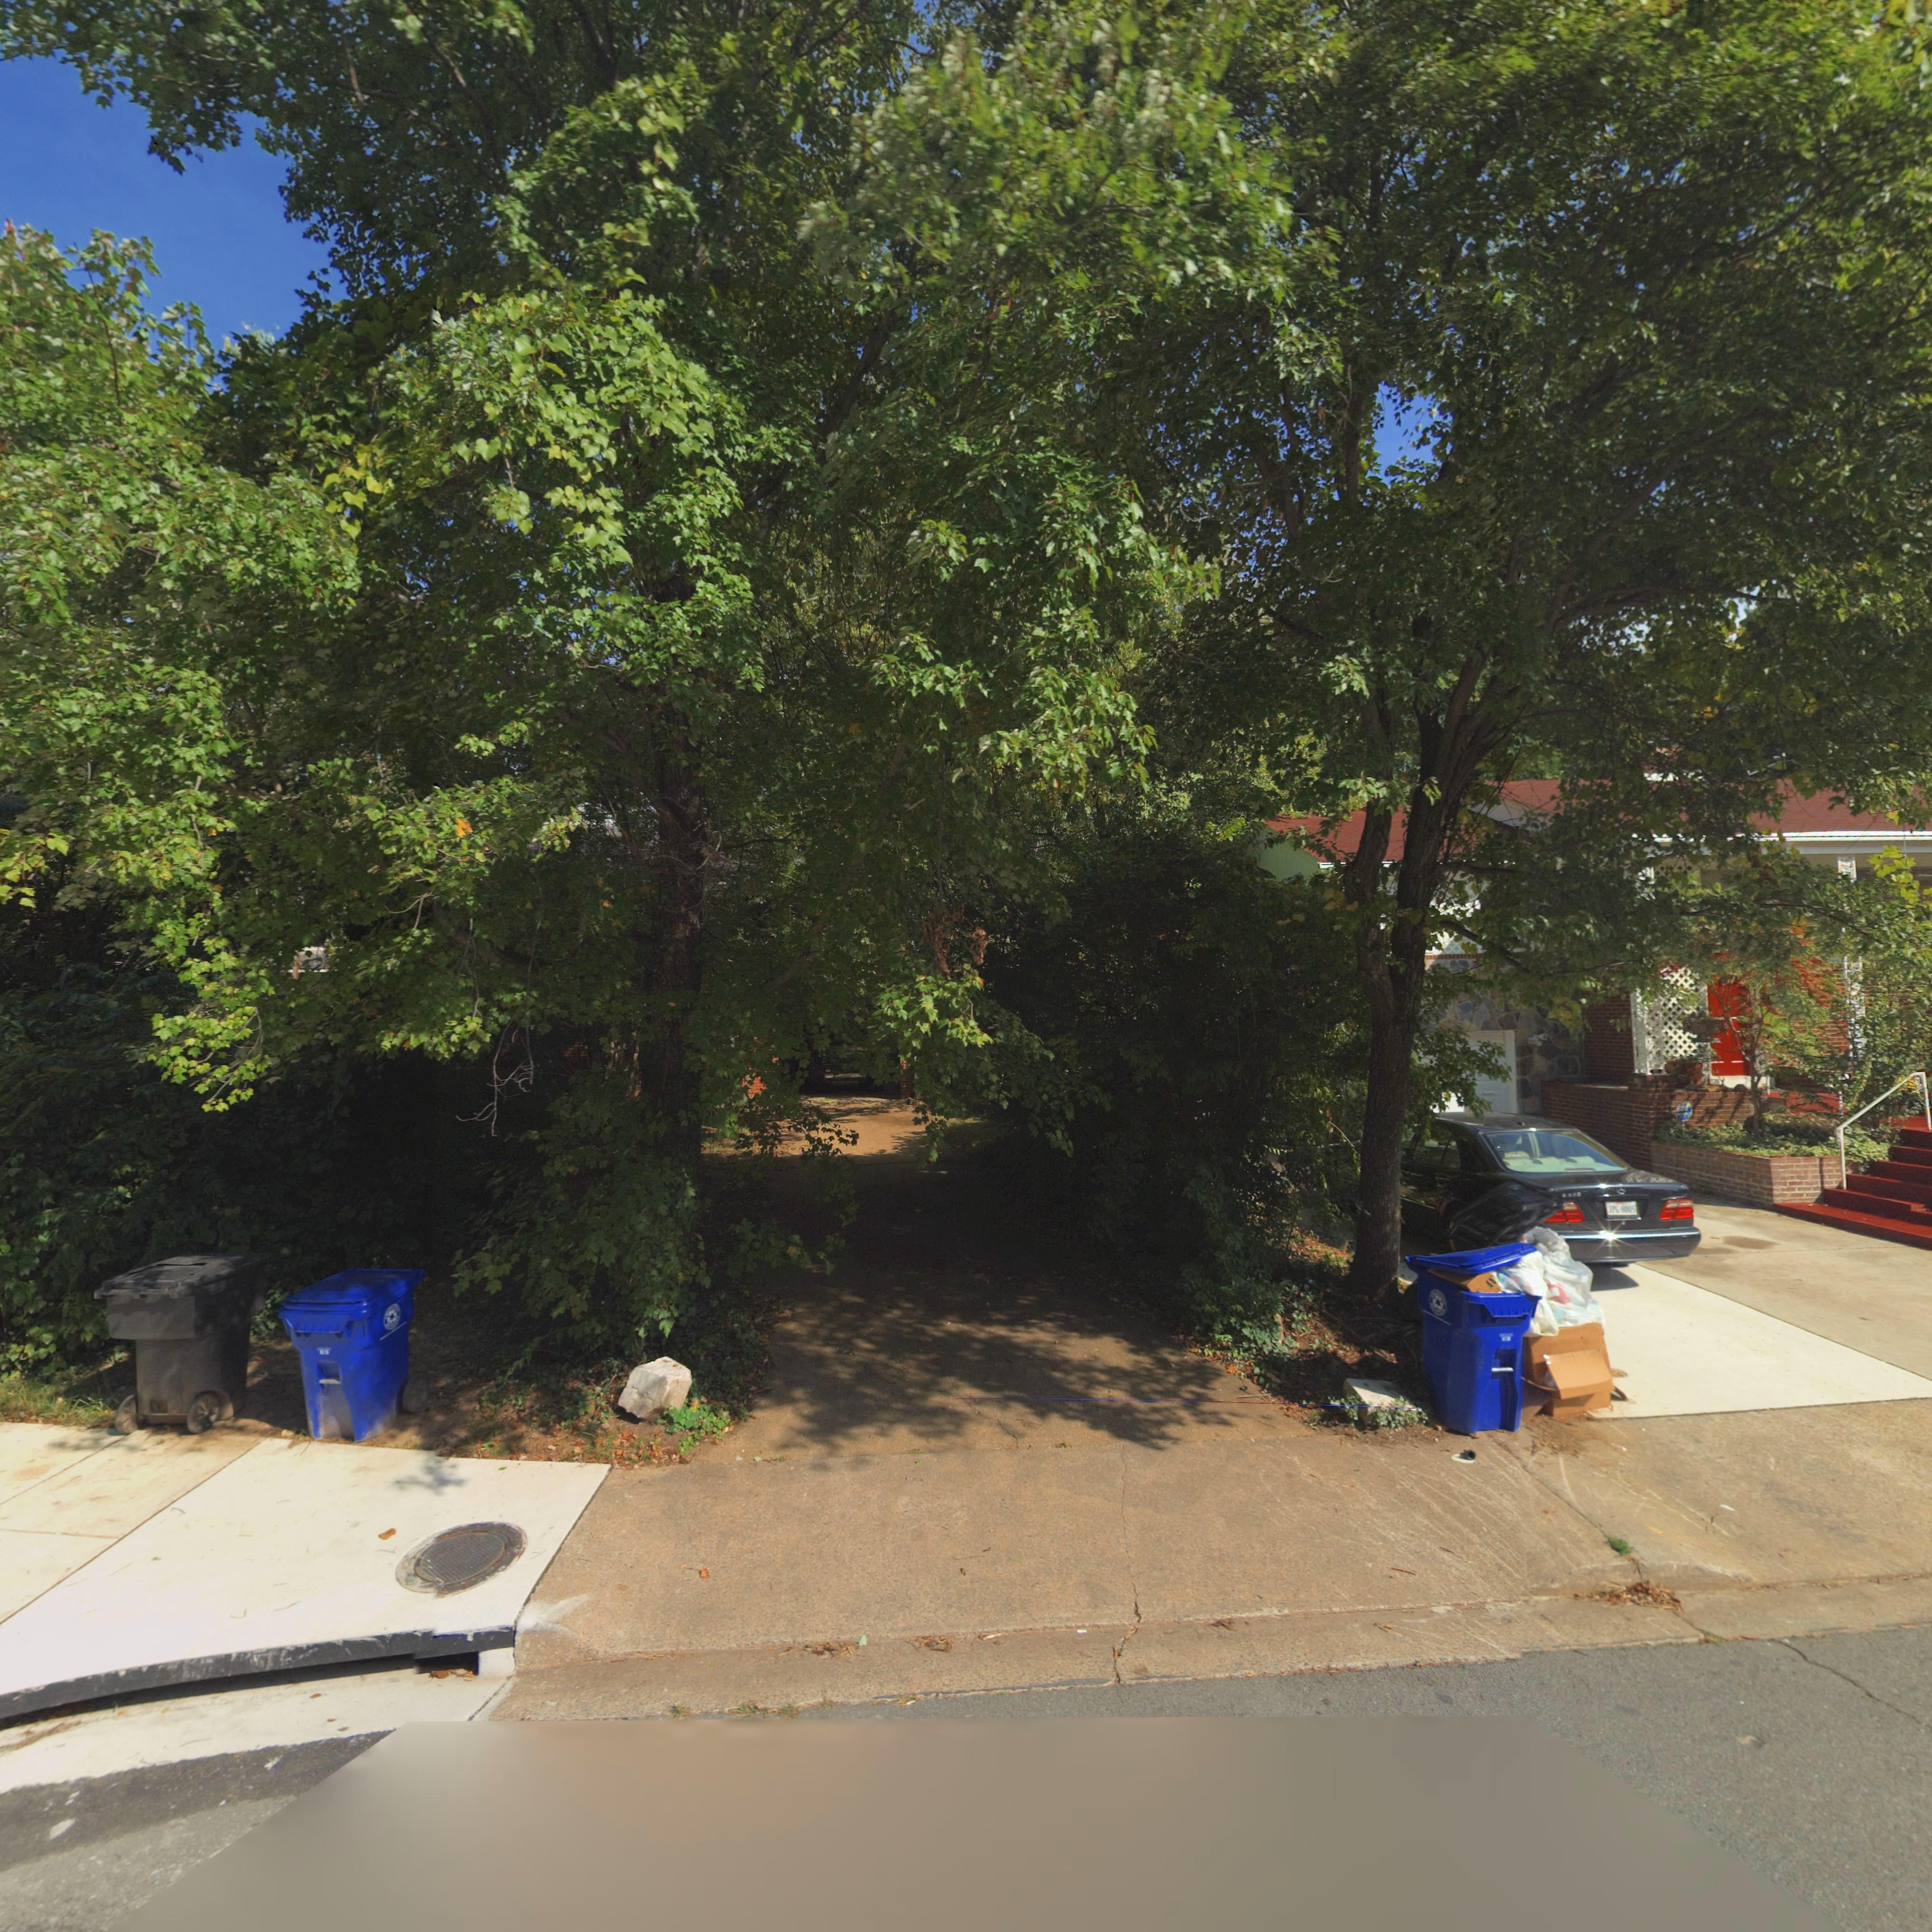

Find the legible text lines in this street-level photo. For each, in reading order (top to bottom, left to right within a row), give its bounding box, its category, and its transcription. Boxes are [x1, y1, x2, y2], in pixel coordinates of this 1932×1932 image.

[1608, 1204, 1636, 1215] None: JPG*8005